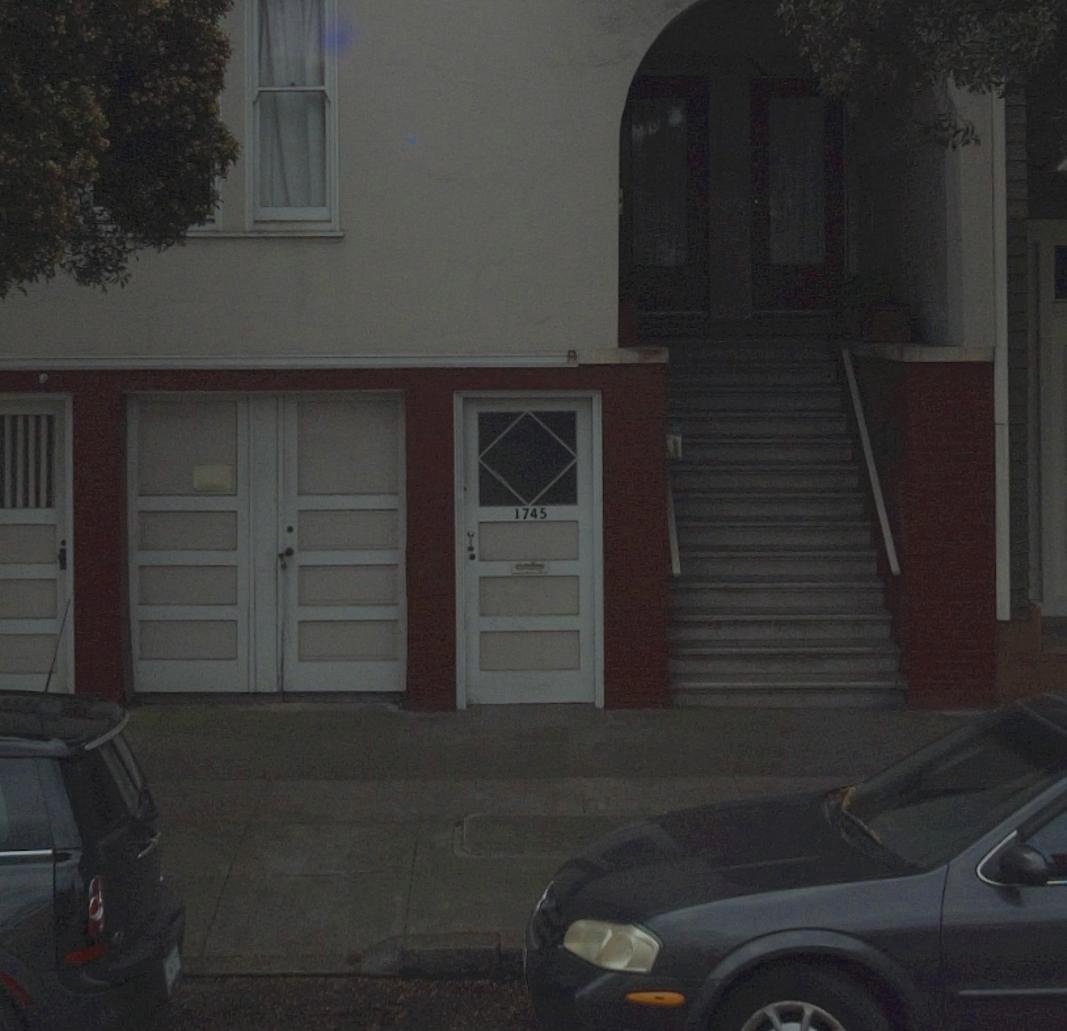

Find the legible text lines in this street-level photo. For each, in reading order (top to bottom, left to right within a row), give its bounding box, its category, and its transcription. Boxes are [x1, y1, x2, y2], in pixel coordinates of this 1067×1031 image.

[513, 507, 548, 520] StreetNumber: 1745